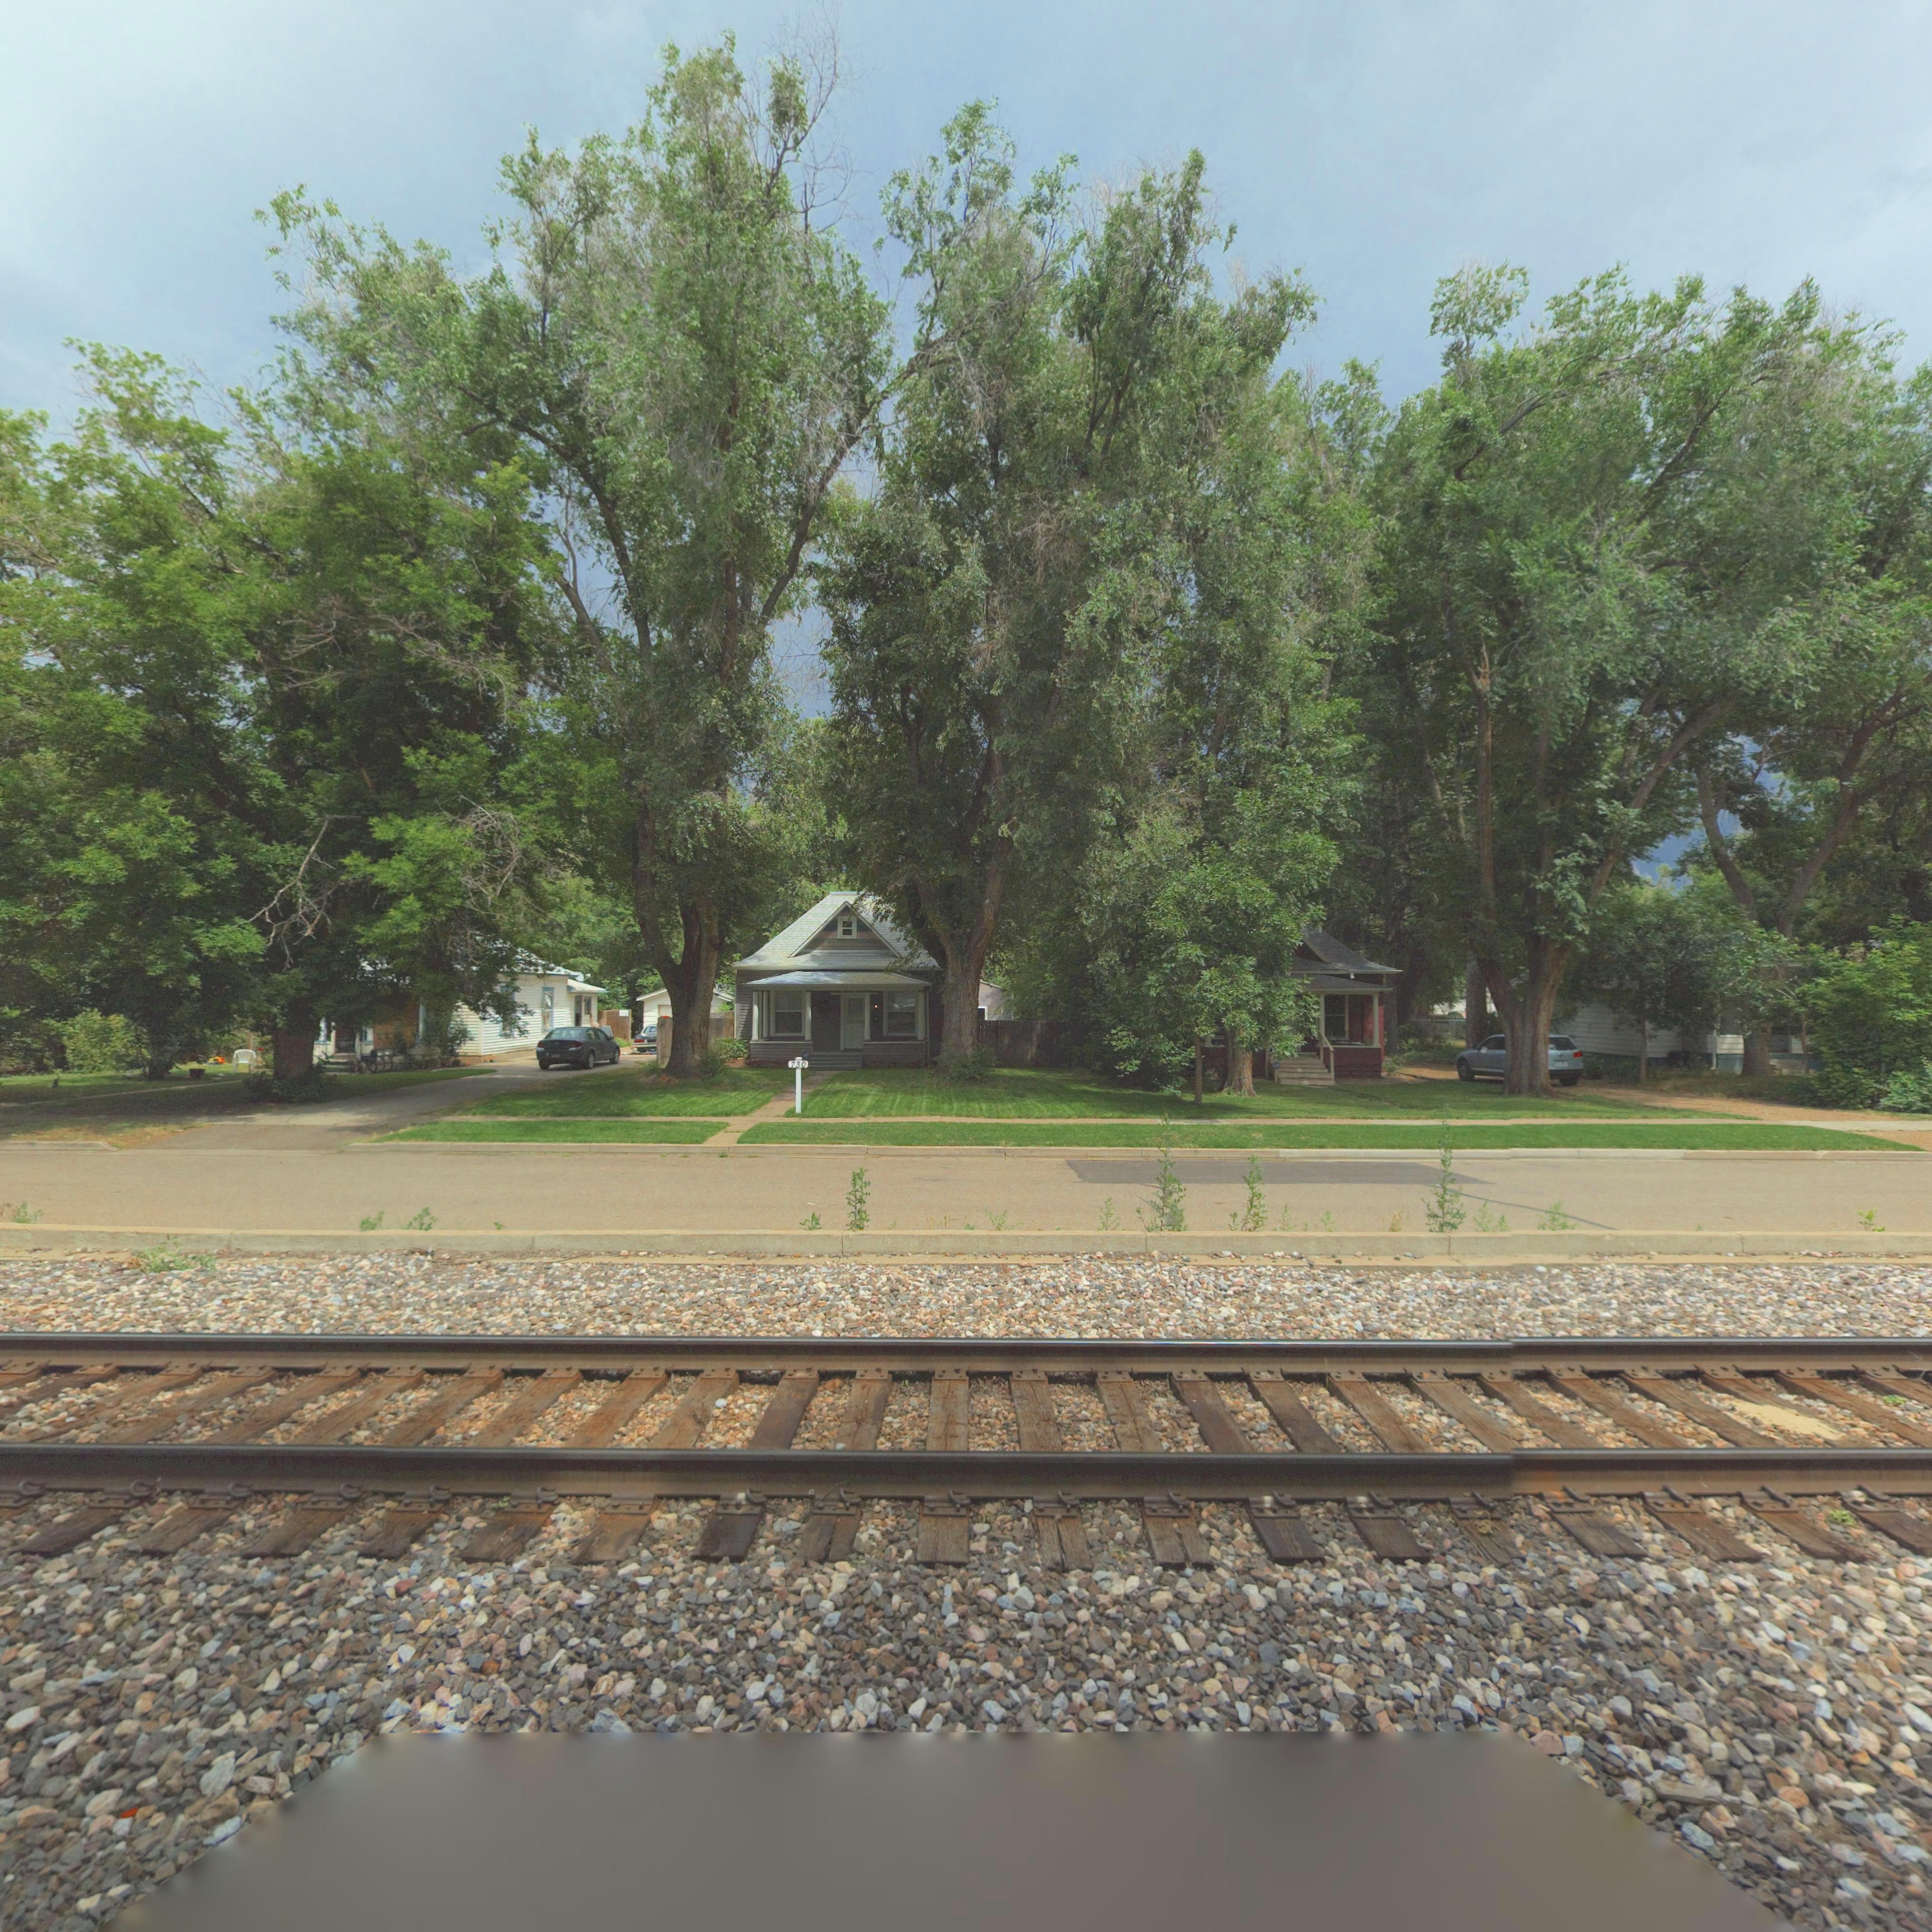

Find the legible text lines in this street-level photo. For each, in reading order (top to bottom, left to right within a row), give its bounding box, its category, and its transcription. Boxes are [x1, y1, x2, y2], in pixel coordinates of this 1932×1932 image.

[790, 1061, 806, 1067] StreetNumber: 730